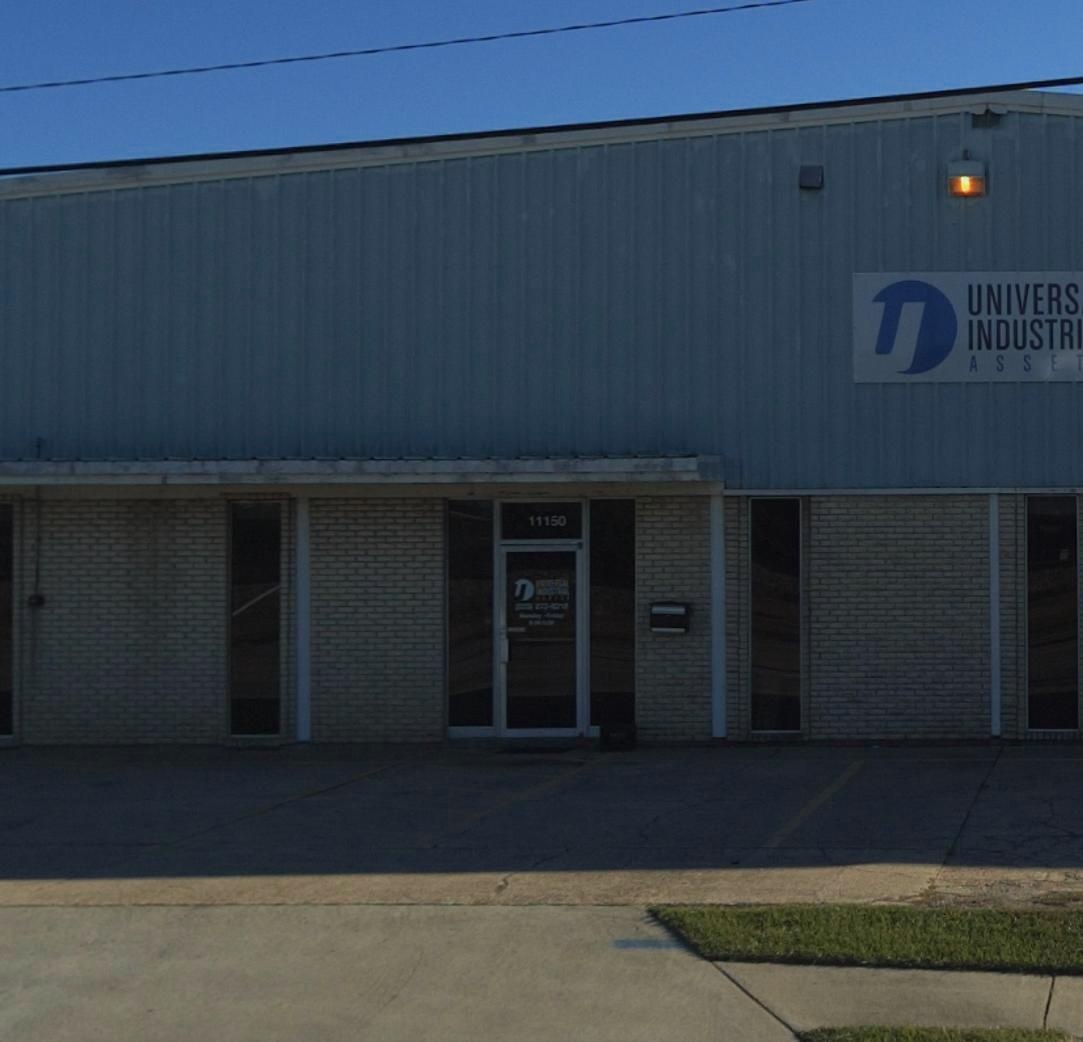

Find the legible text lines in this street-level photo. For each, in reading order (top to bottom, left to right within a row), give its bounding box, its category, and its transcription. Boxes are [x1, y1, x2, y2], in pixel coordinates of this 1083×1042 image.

[965, 281, 1081, 318] BusinessName: UNIVERS
[967, 317, 1082, 351] BusinessName: INDUSTRI
[967, 352, 1058, 372] BusinessName: ASSE
[527, 513, 568, 528] StreetNumber: 11150